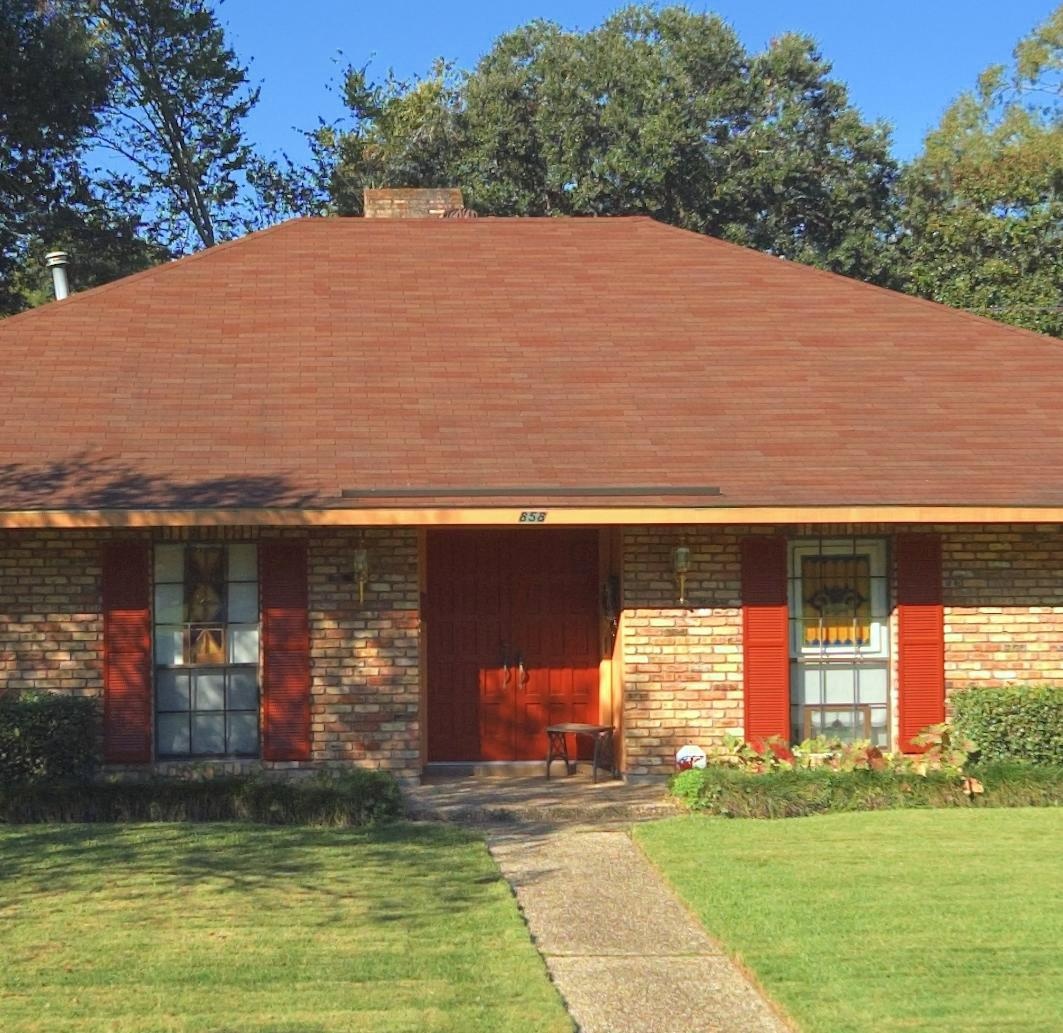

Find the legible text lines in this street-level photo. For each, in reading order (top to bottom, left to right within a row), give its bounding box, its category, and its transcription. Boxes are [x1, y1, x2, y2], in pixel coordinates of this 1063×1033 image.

[516, 510, 549, 524] StreetNumber: 858